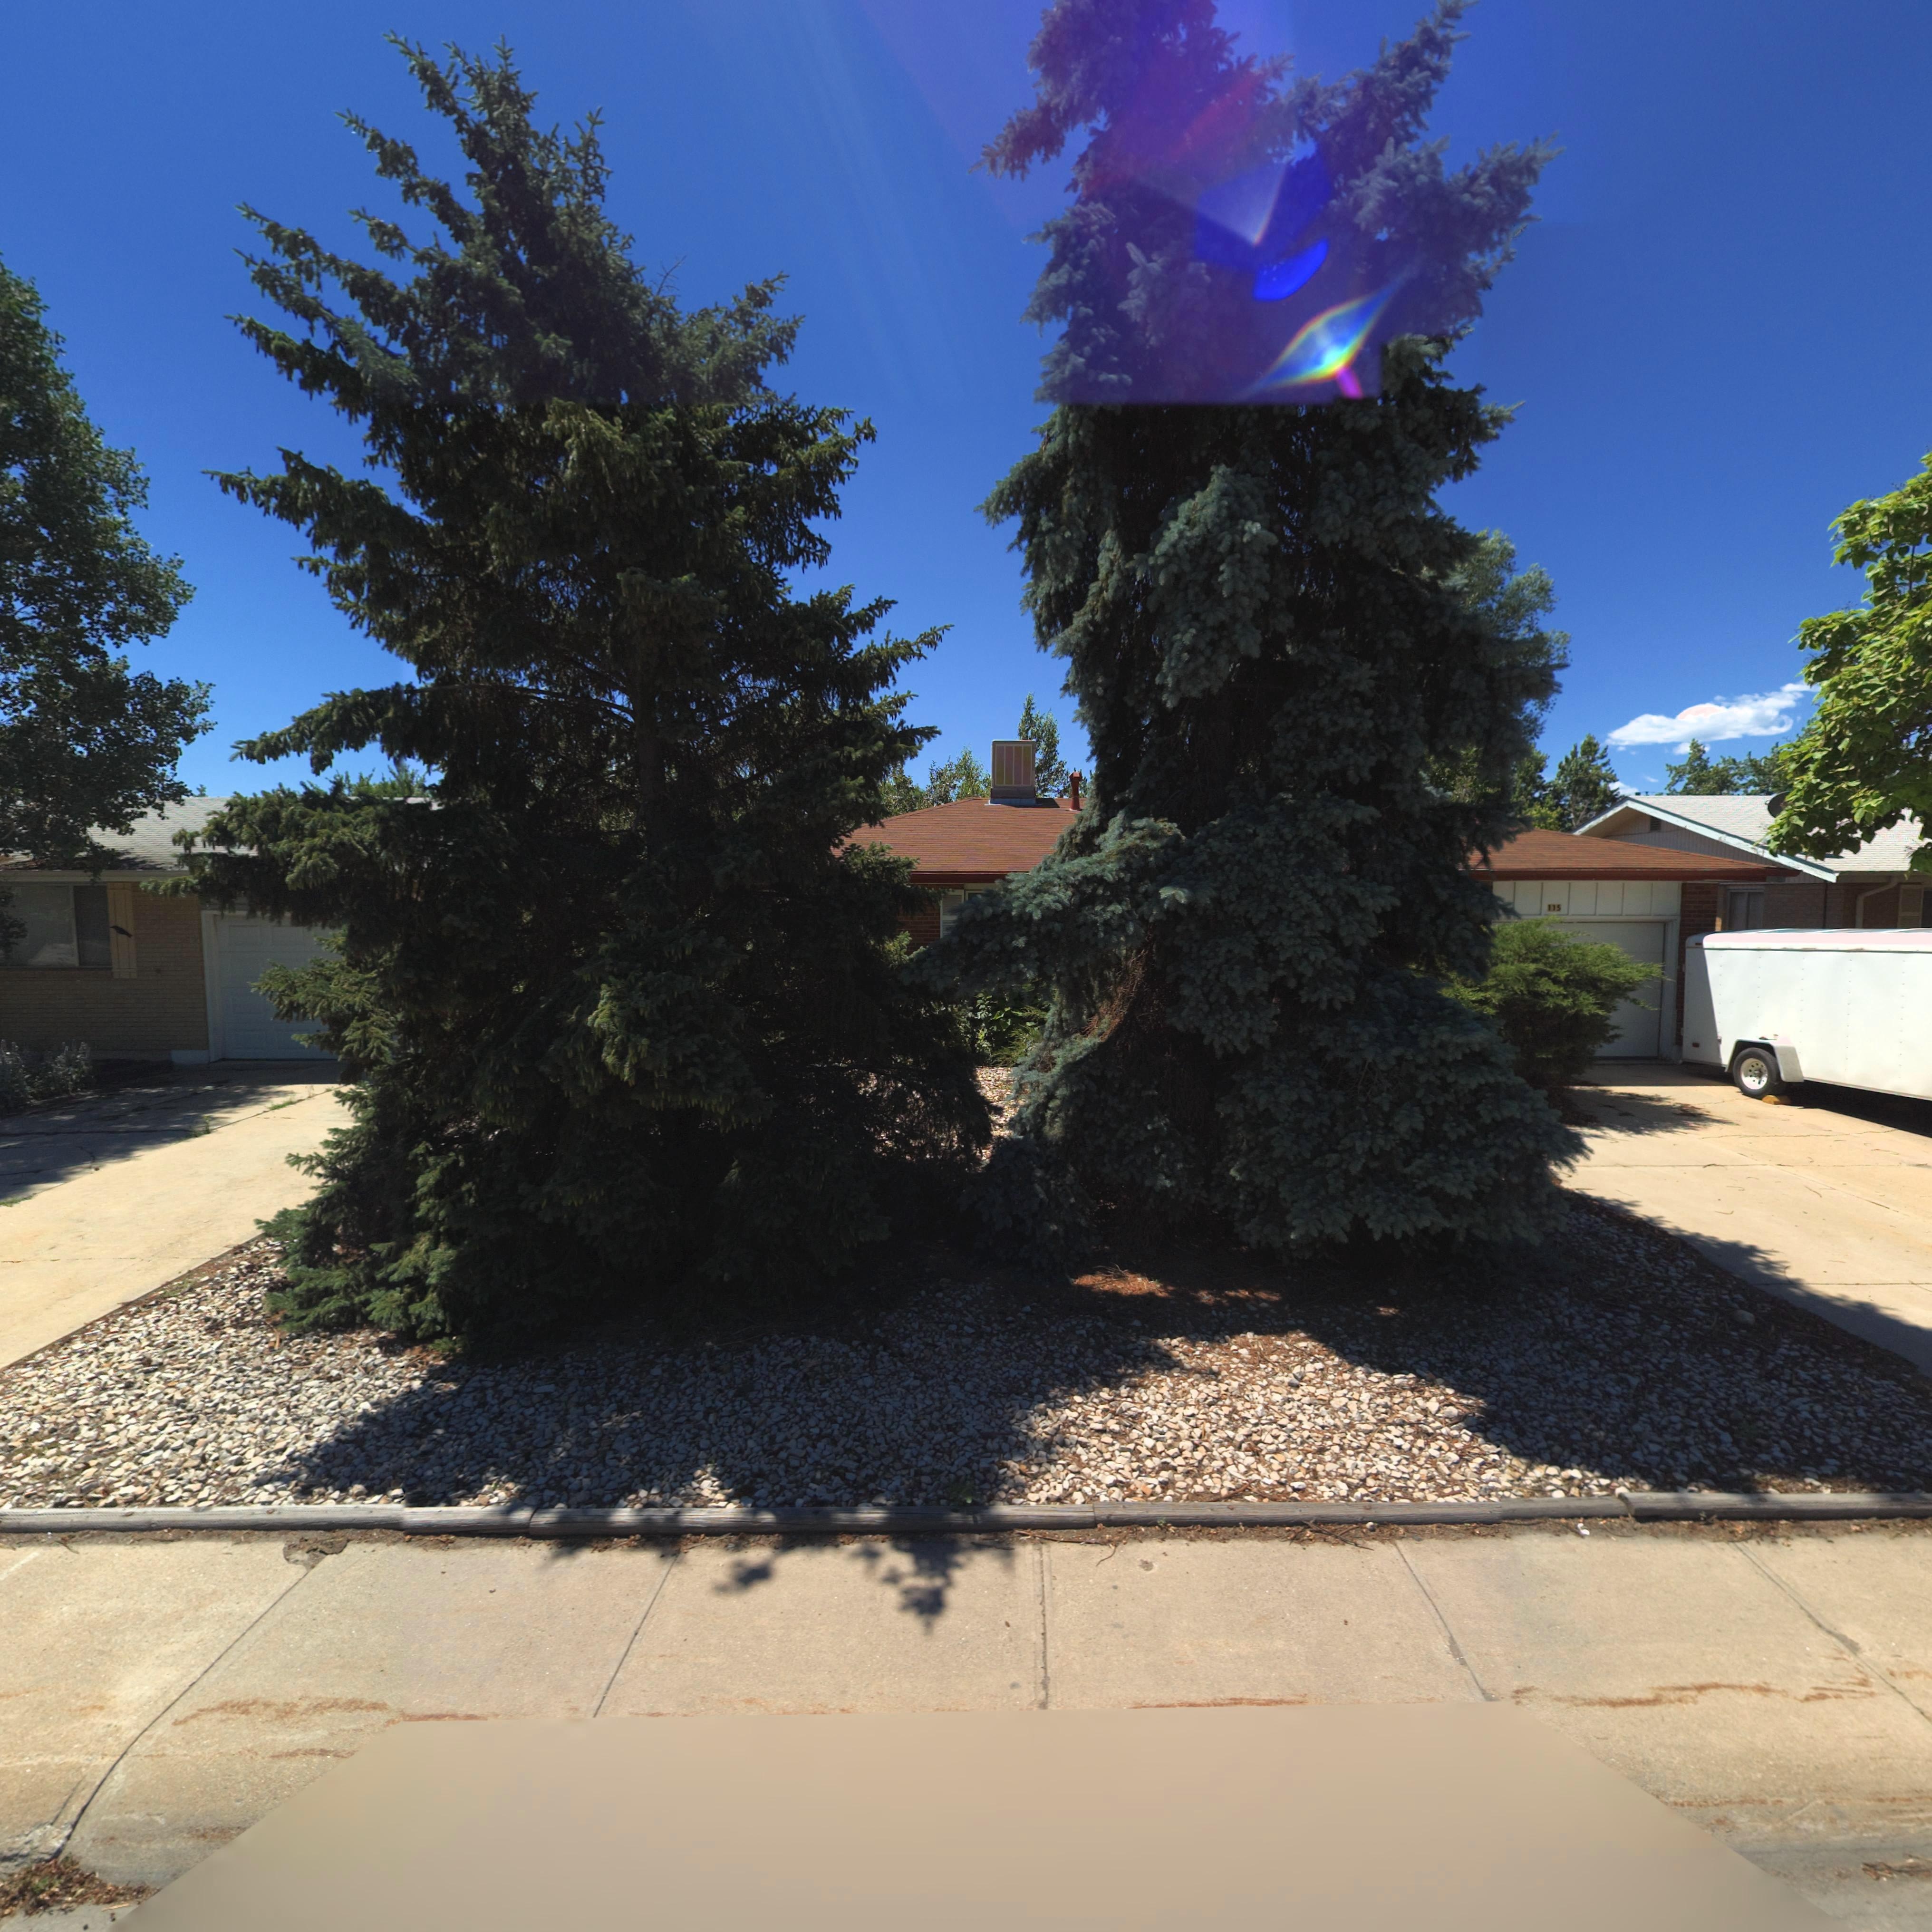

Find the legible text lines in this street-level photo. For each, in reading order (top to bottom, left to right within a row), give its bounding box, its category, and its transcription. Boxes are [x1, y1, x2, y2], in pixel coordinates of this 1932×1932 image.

[1548, 904, 1561, 911] StreetNumber: 115